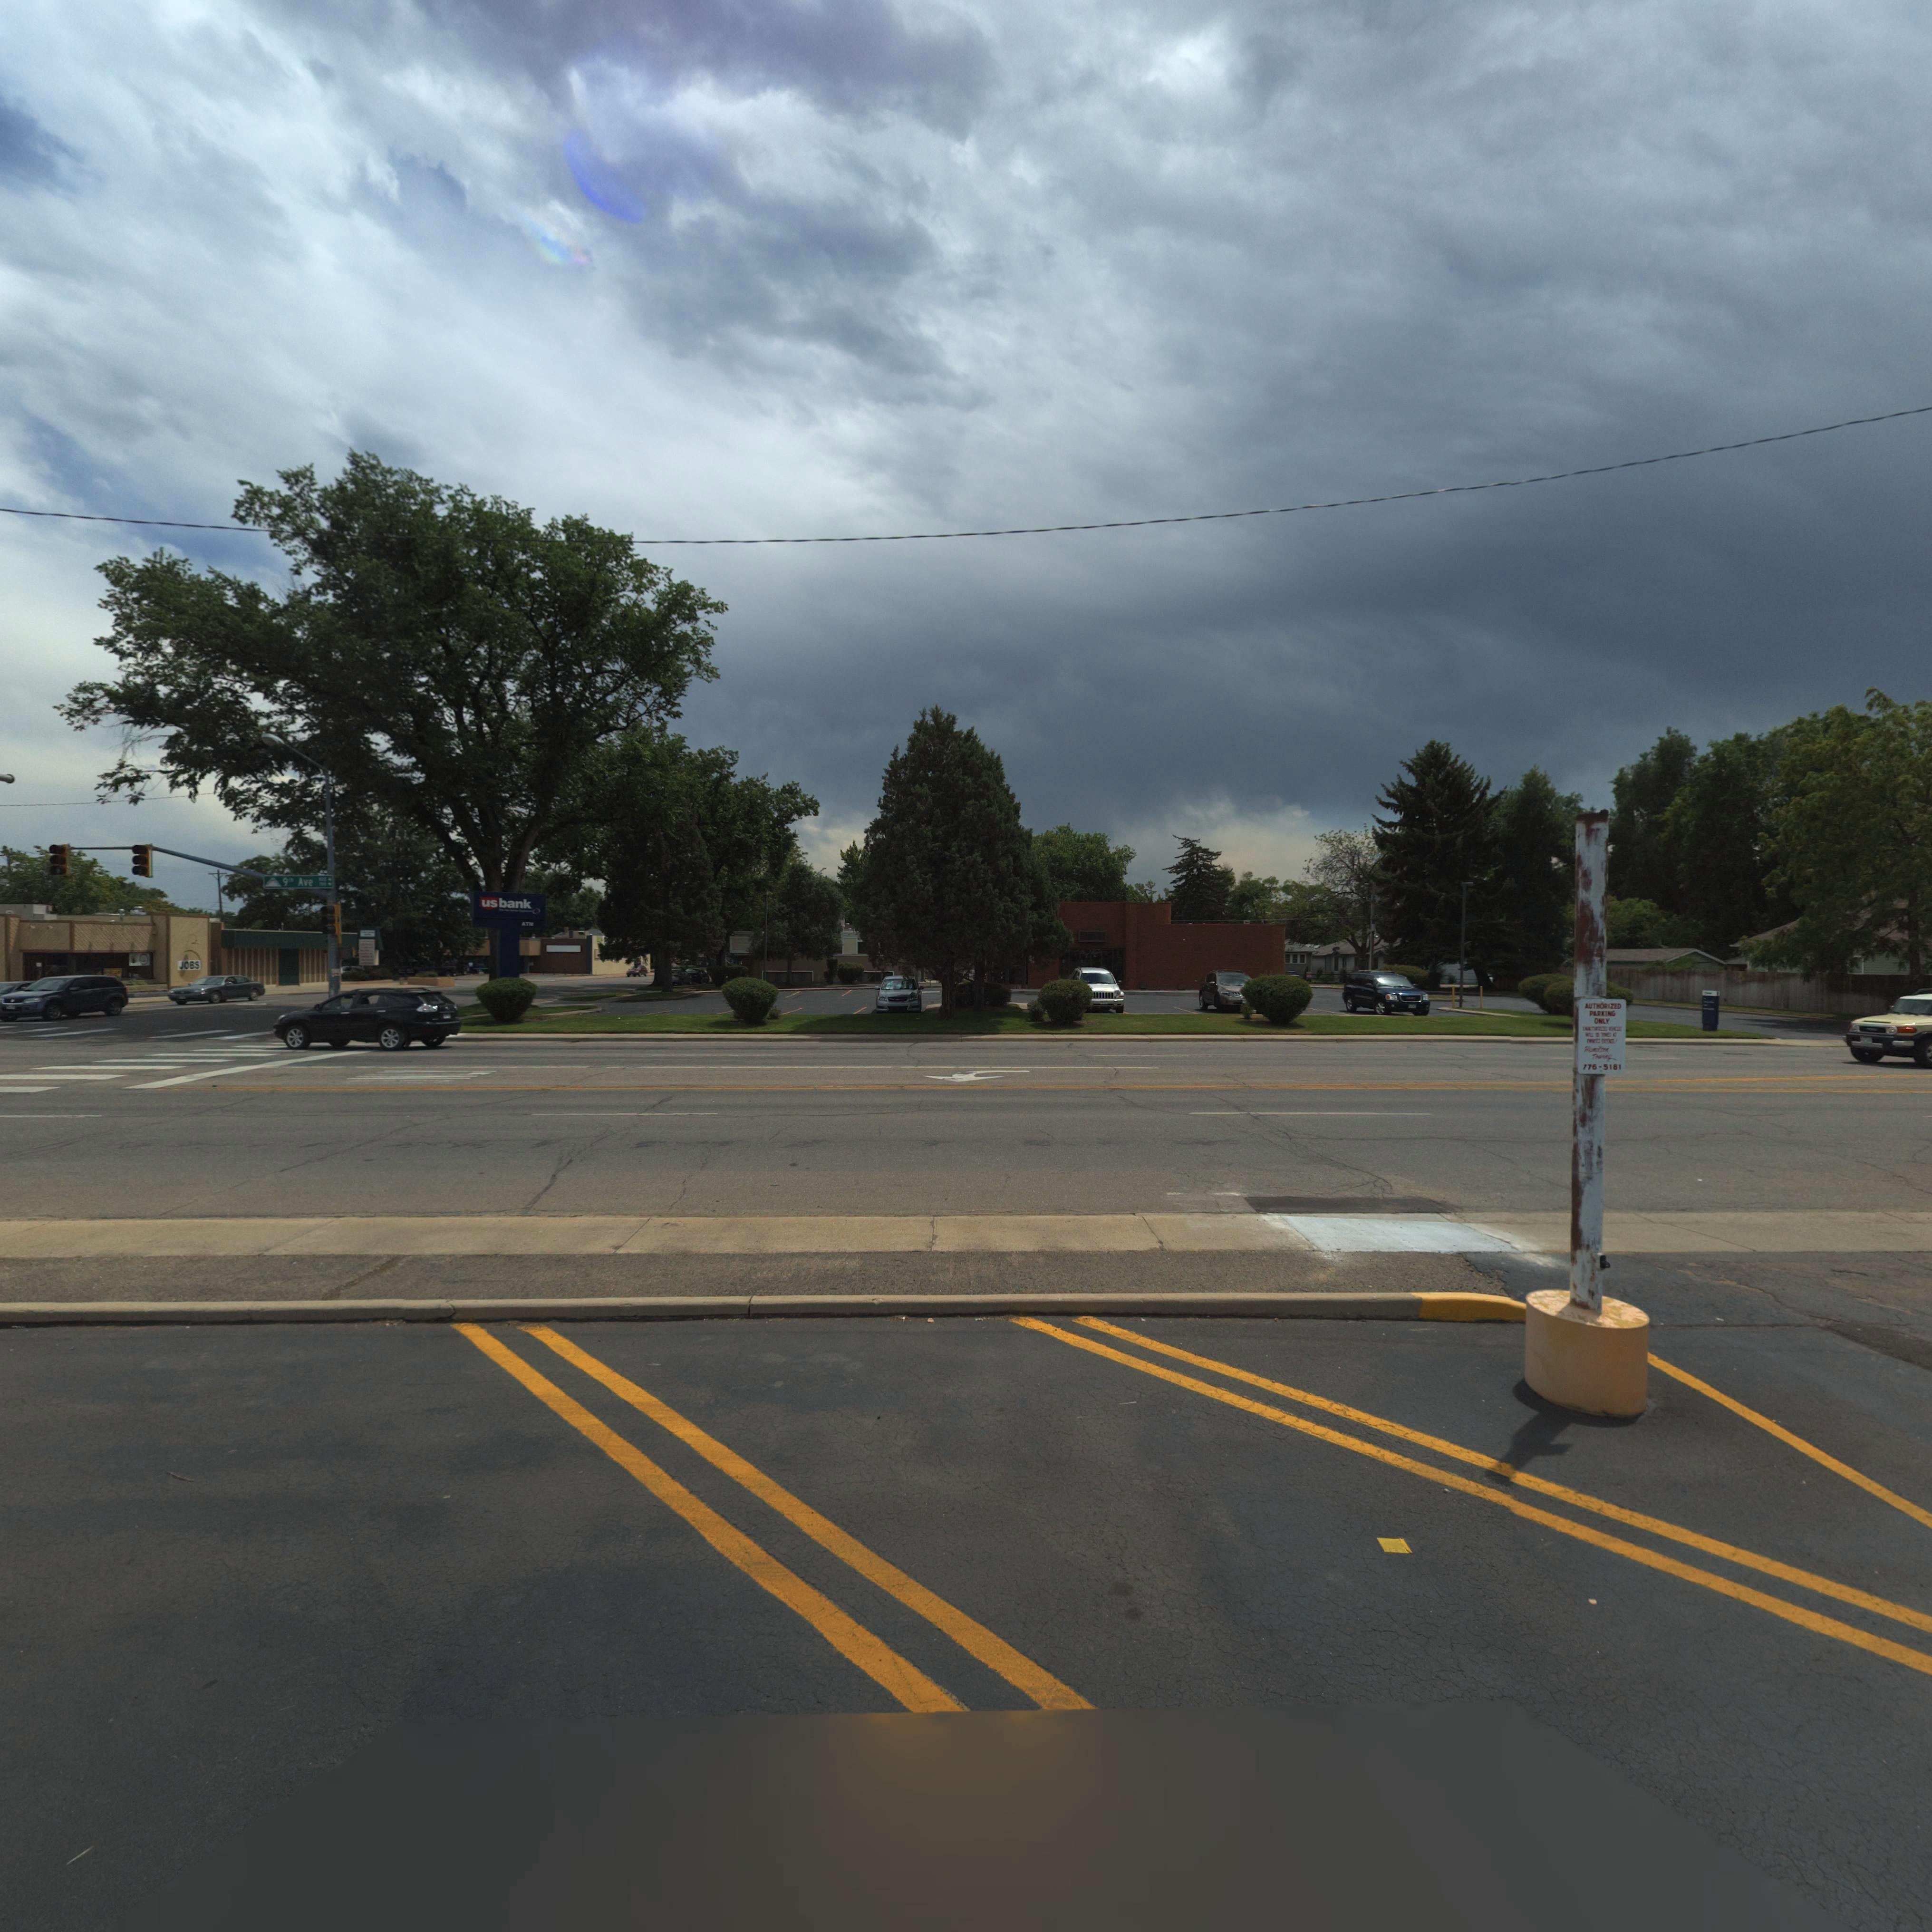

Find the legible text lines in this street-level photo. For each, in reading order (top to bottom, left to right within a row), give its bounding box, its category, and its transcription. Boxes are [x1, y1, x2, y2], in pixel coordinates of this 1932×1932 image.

[282, 877, 313, 887] StreetName: 9th Ave
[481, 898, 532, 909] BusinessName: usbank